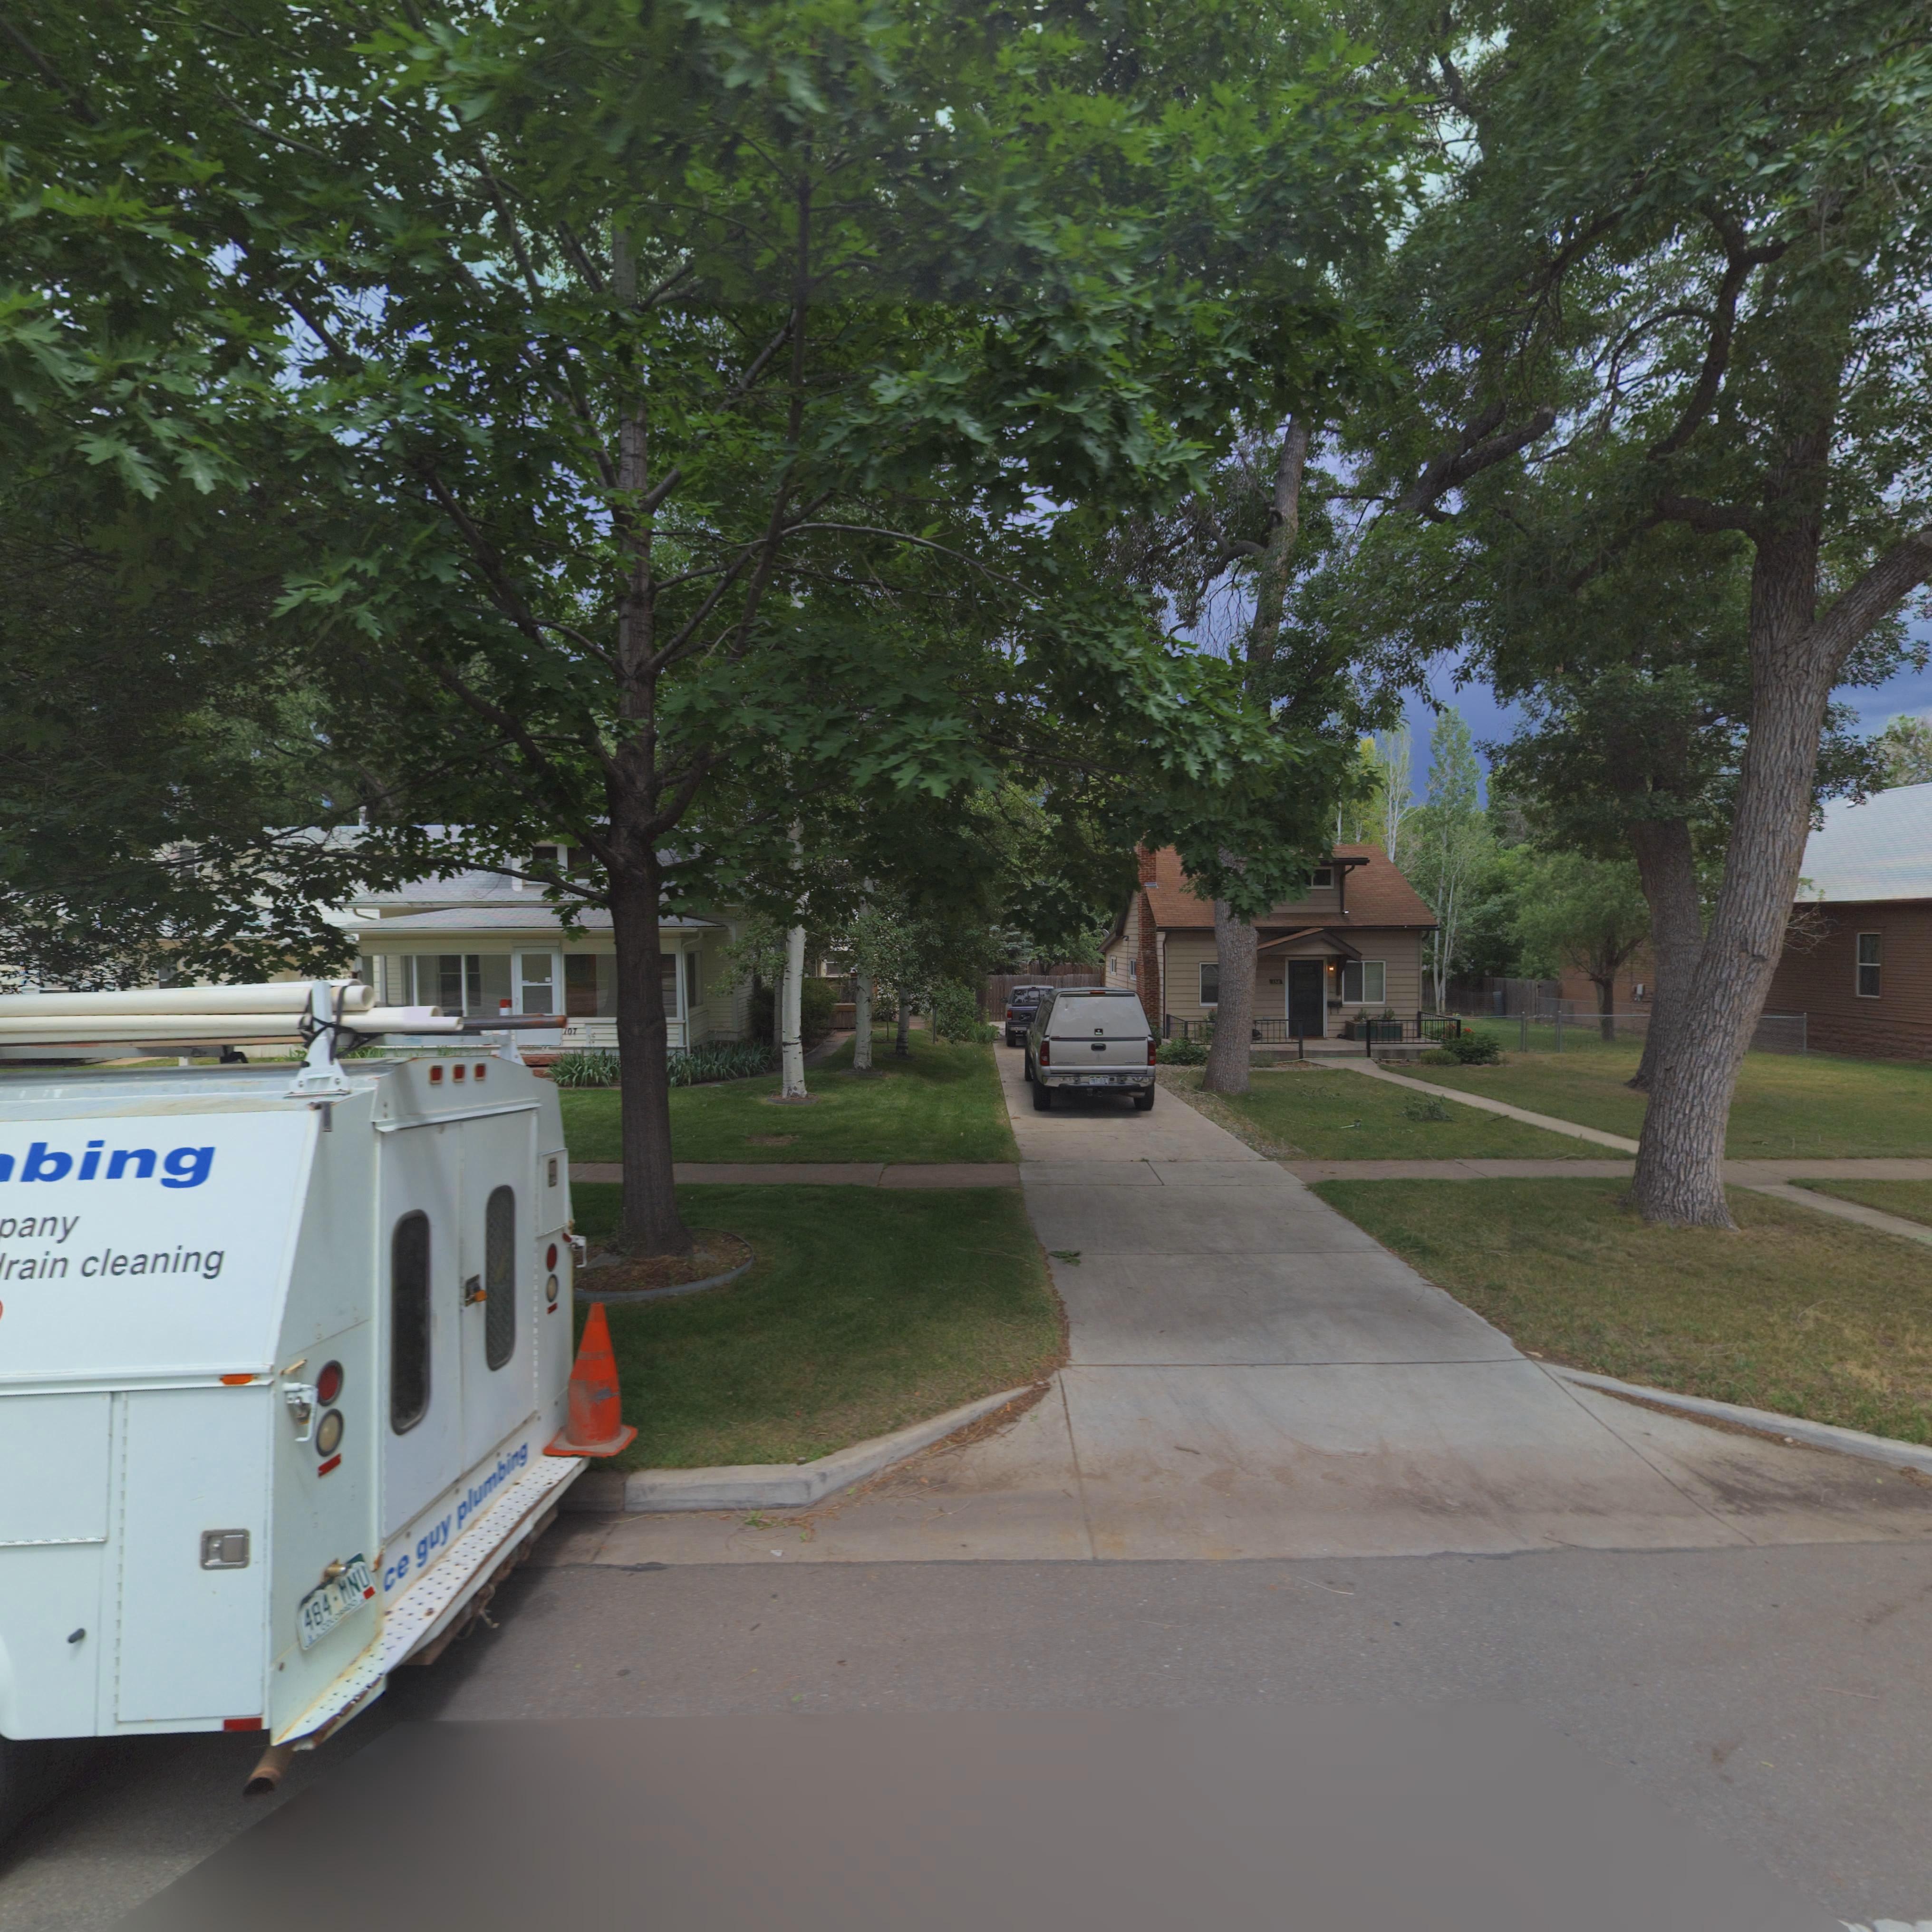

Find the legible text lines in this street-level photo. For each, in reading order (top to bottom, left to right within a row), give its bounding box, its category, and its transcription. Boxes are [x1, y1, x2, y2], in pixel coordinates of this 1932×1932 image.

[1272, 979, 1280, 984] StreetNumber: **8
[563, 1027, 578, 1035] StreetNumber: 107